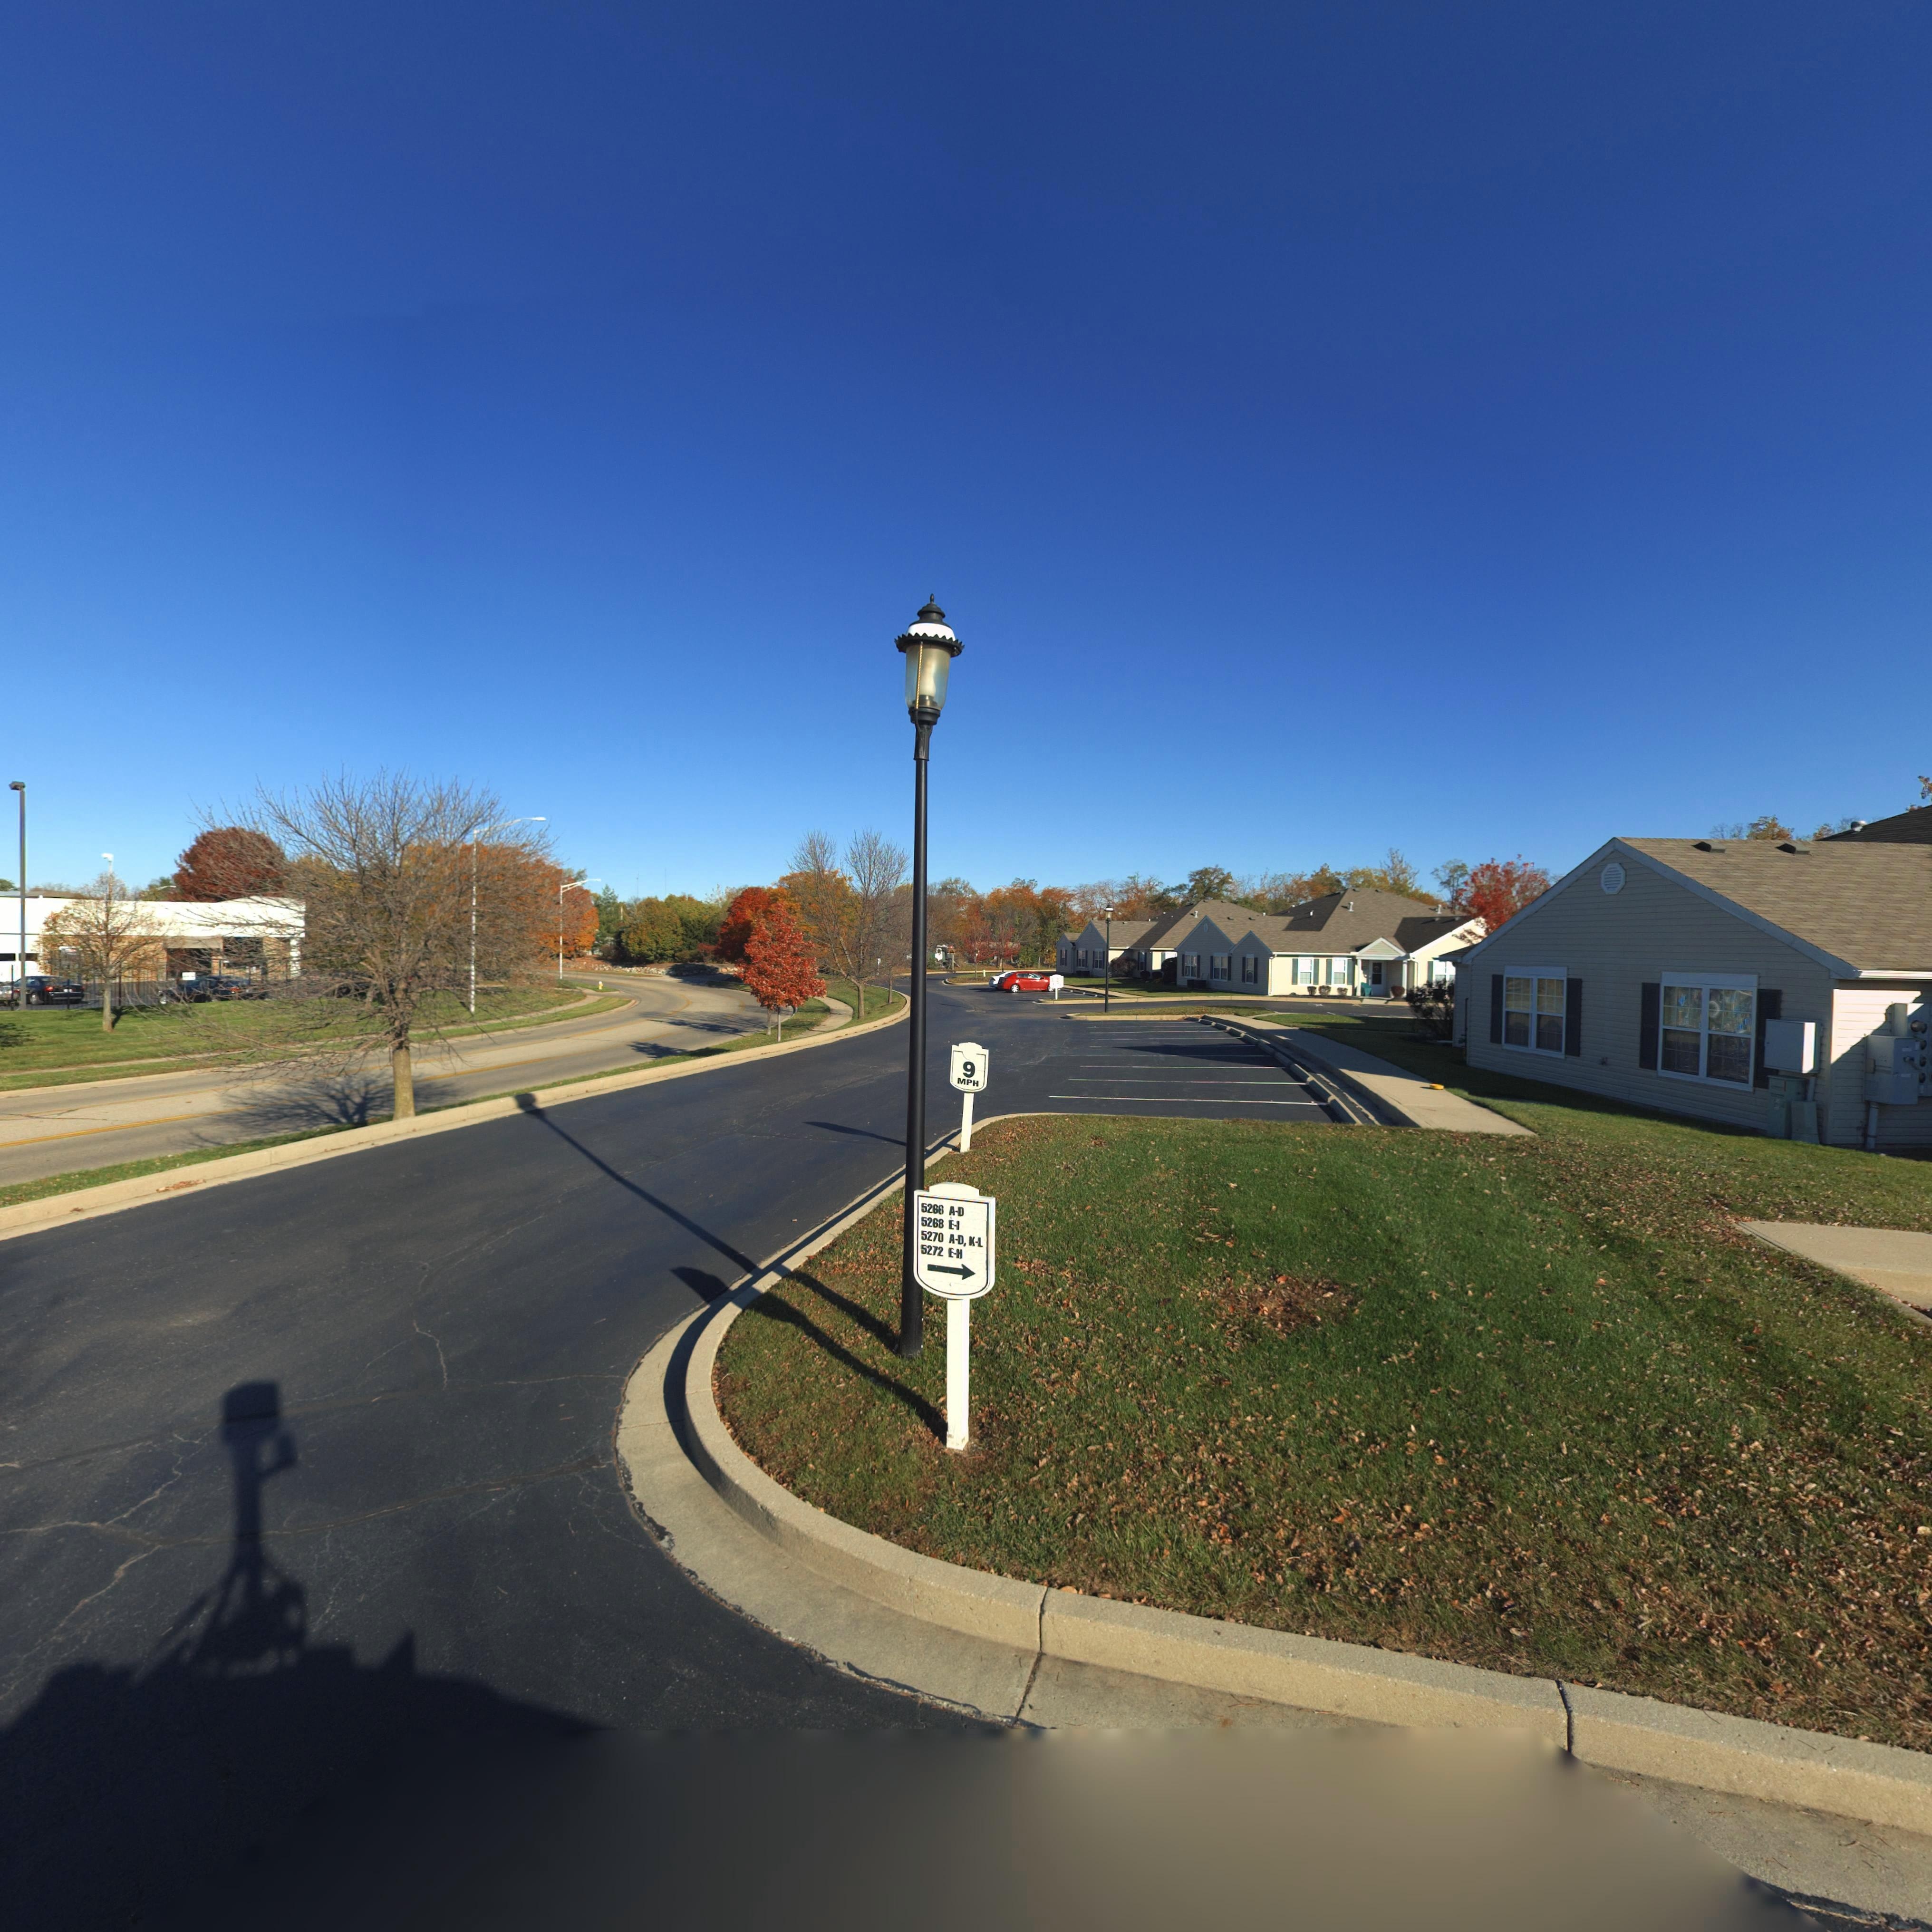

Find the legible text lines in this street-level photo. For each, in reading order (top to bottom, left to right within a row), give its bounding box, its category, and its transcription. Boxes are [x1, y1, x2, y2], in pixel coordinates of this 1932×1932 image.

[920, 1202, 945, 1215] StreetNumber: 5266
[920, 1216, 945, 1229] StreetNumber: 5268
[920, 1229, 945, 1243] StreetNumber: 5270
[920, 1244, 945, 1257] StreetNumber: 5272